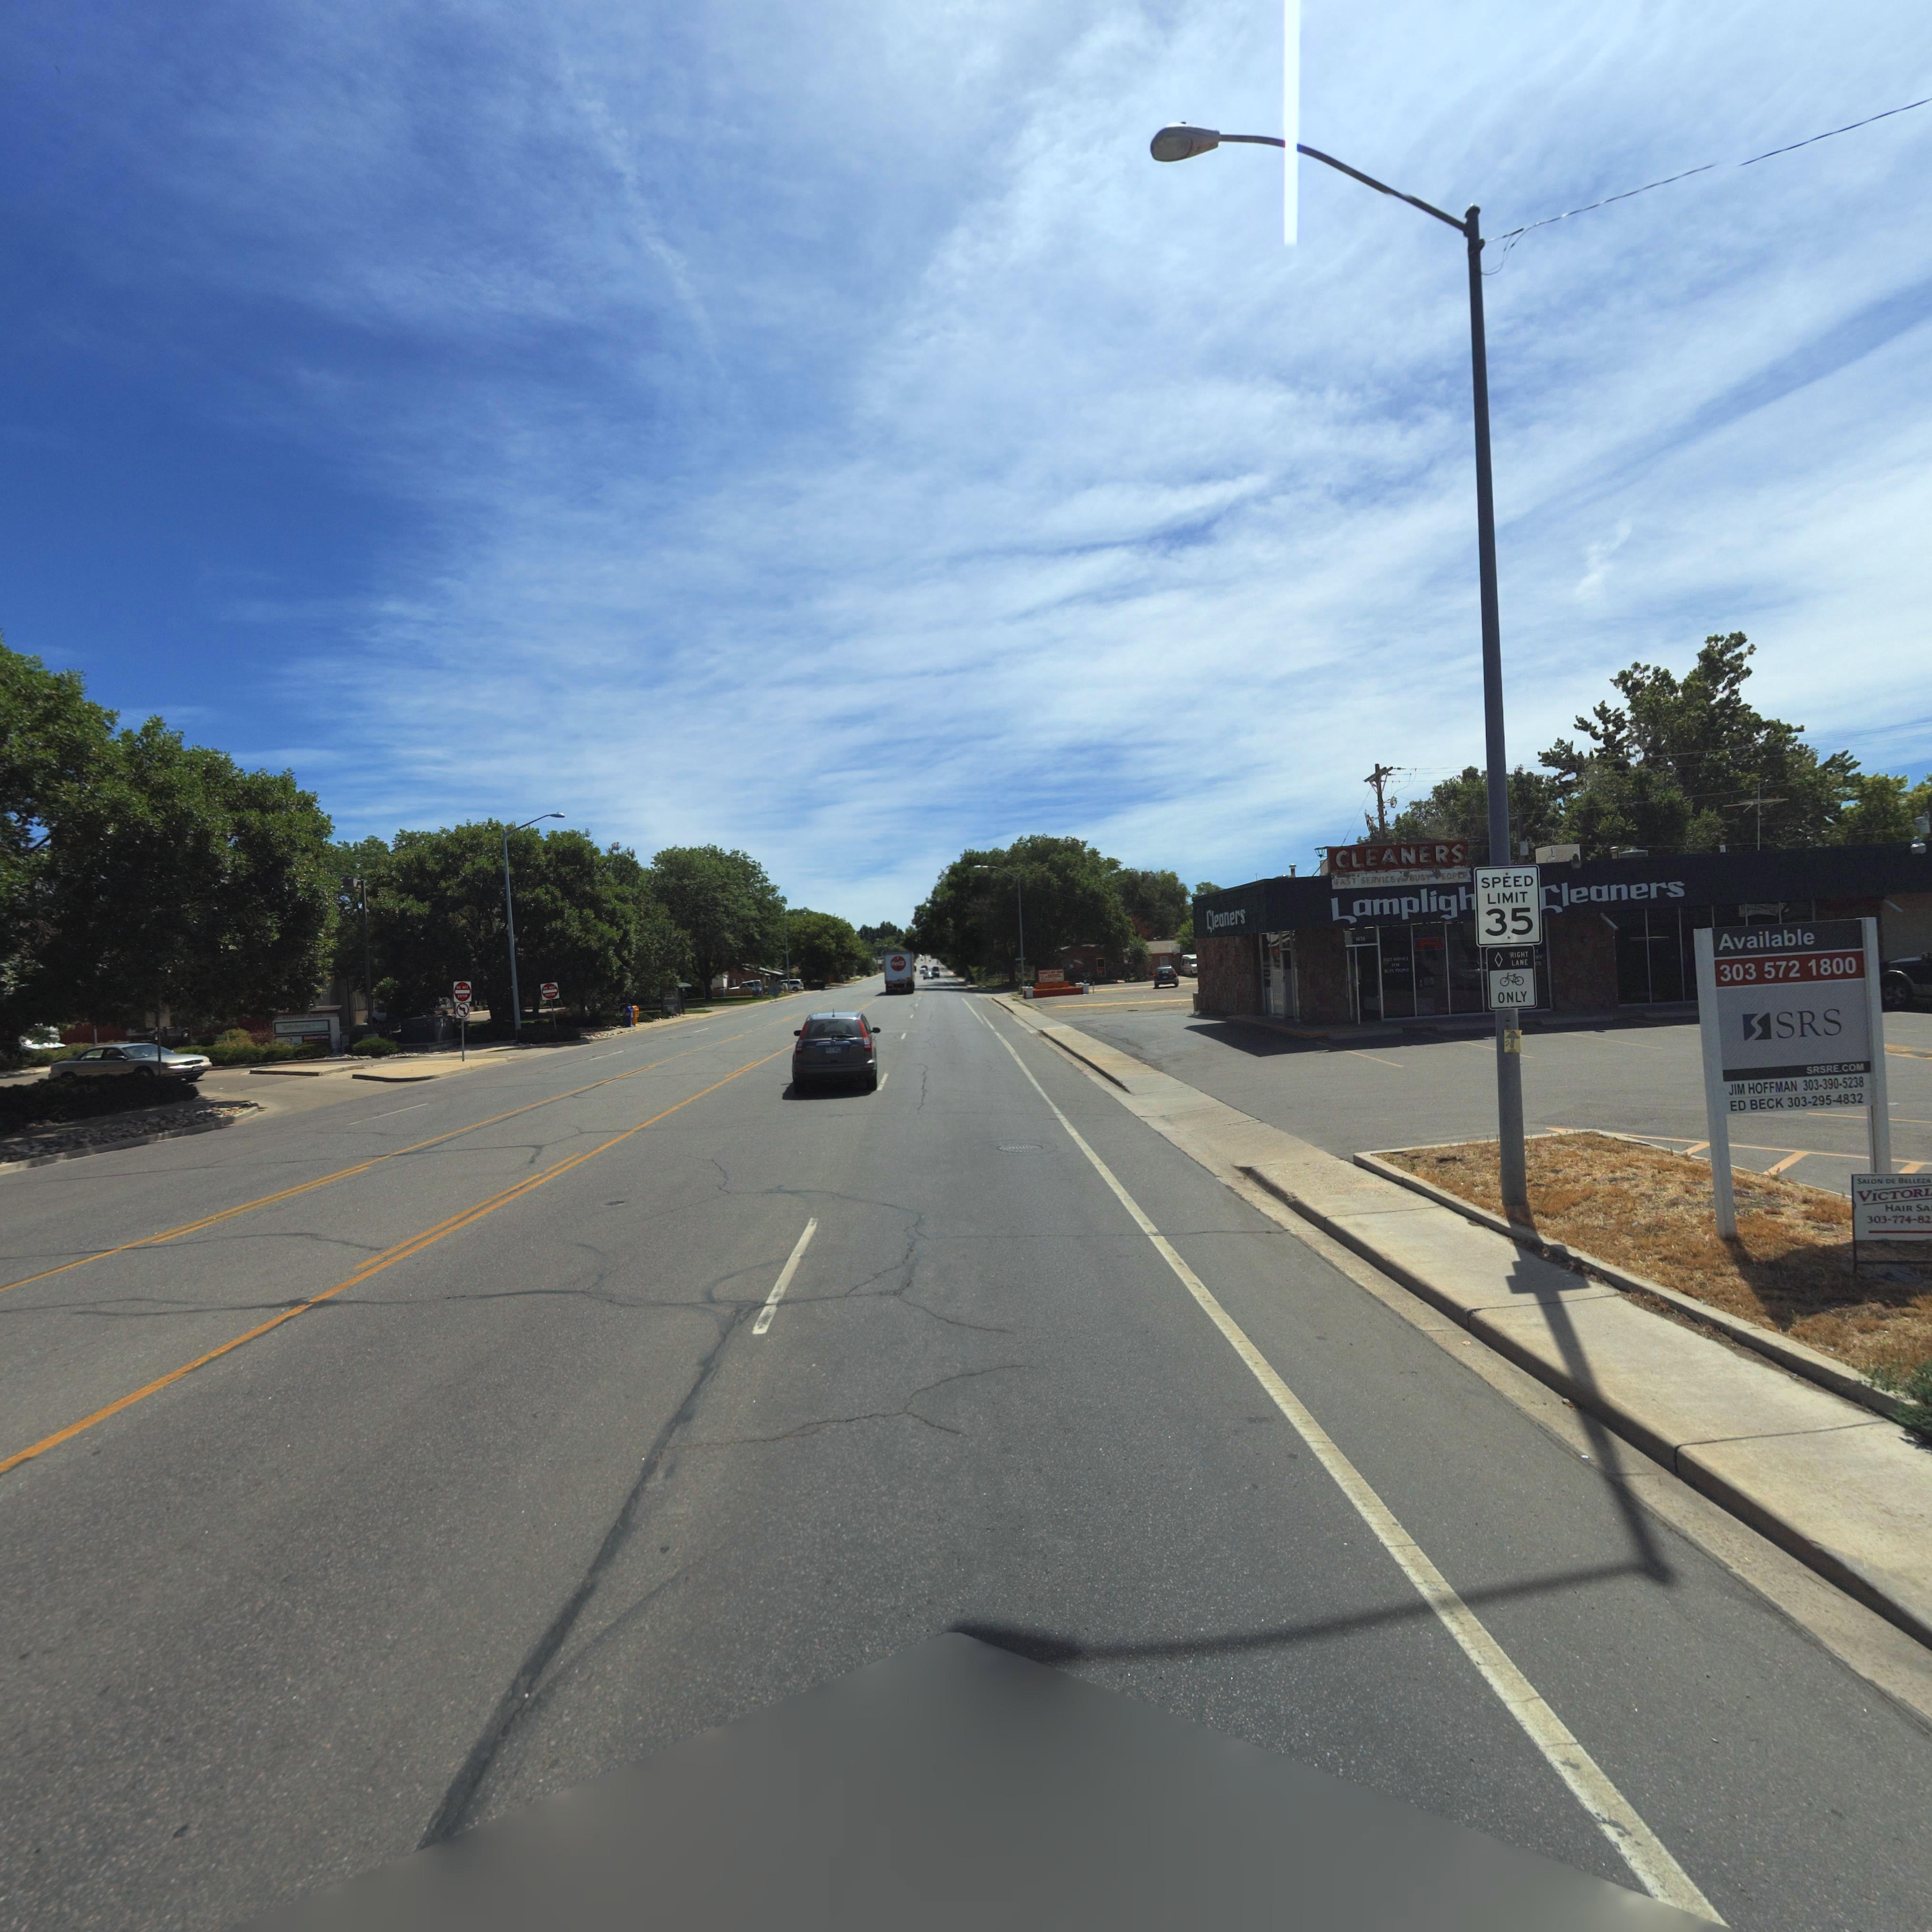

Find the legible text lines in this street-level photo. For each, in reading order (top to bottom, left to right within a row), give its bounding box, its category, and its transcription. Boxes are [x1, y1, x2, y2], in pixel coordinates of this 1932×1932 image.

[1330, 879, 1686, 925] BusinessName: Lampligh*** Cleaners
[1355, 936, 1365, 941] StreetNumber: 1678
[1044, 975, 1062, 978] BusinessName: ***O*
[285, 1037, 293, 1043] BusinessName: Q
[1856, 1187, 1931, 1202] BusinessName: VICTORI
[1884, 1203, 1931, 1212] BusinessName: HAIR Sa